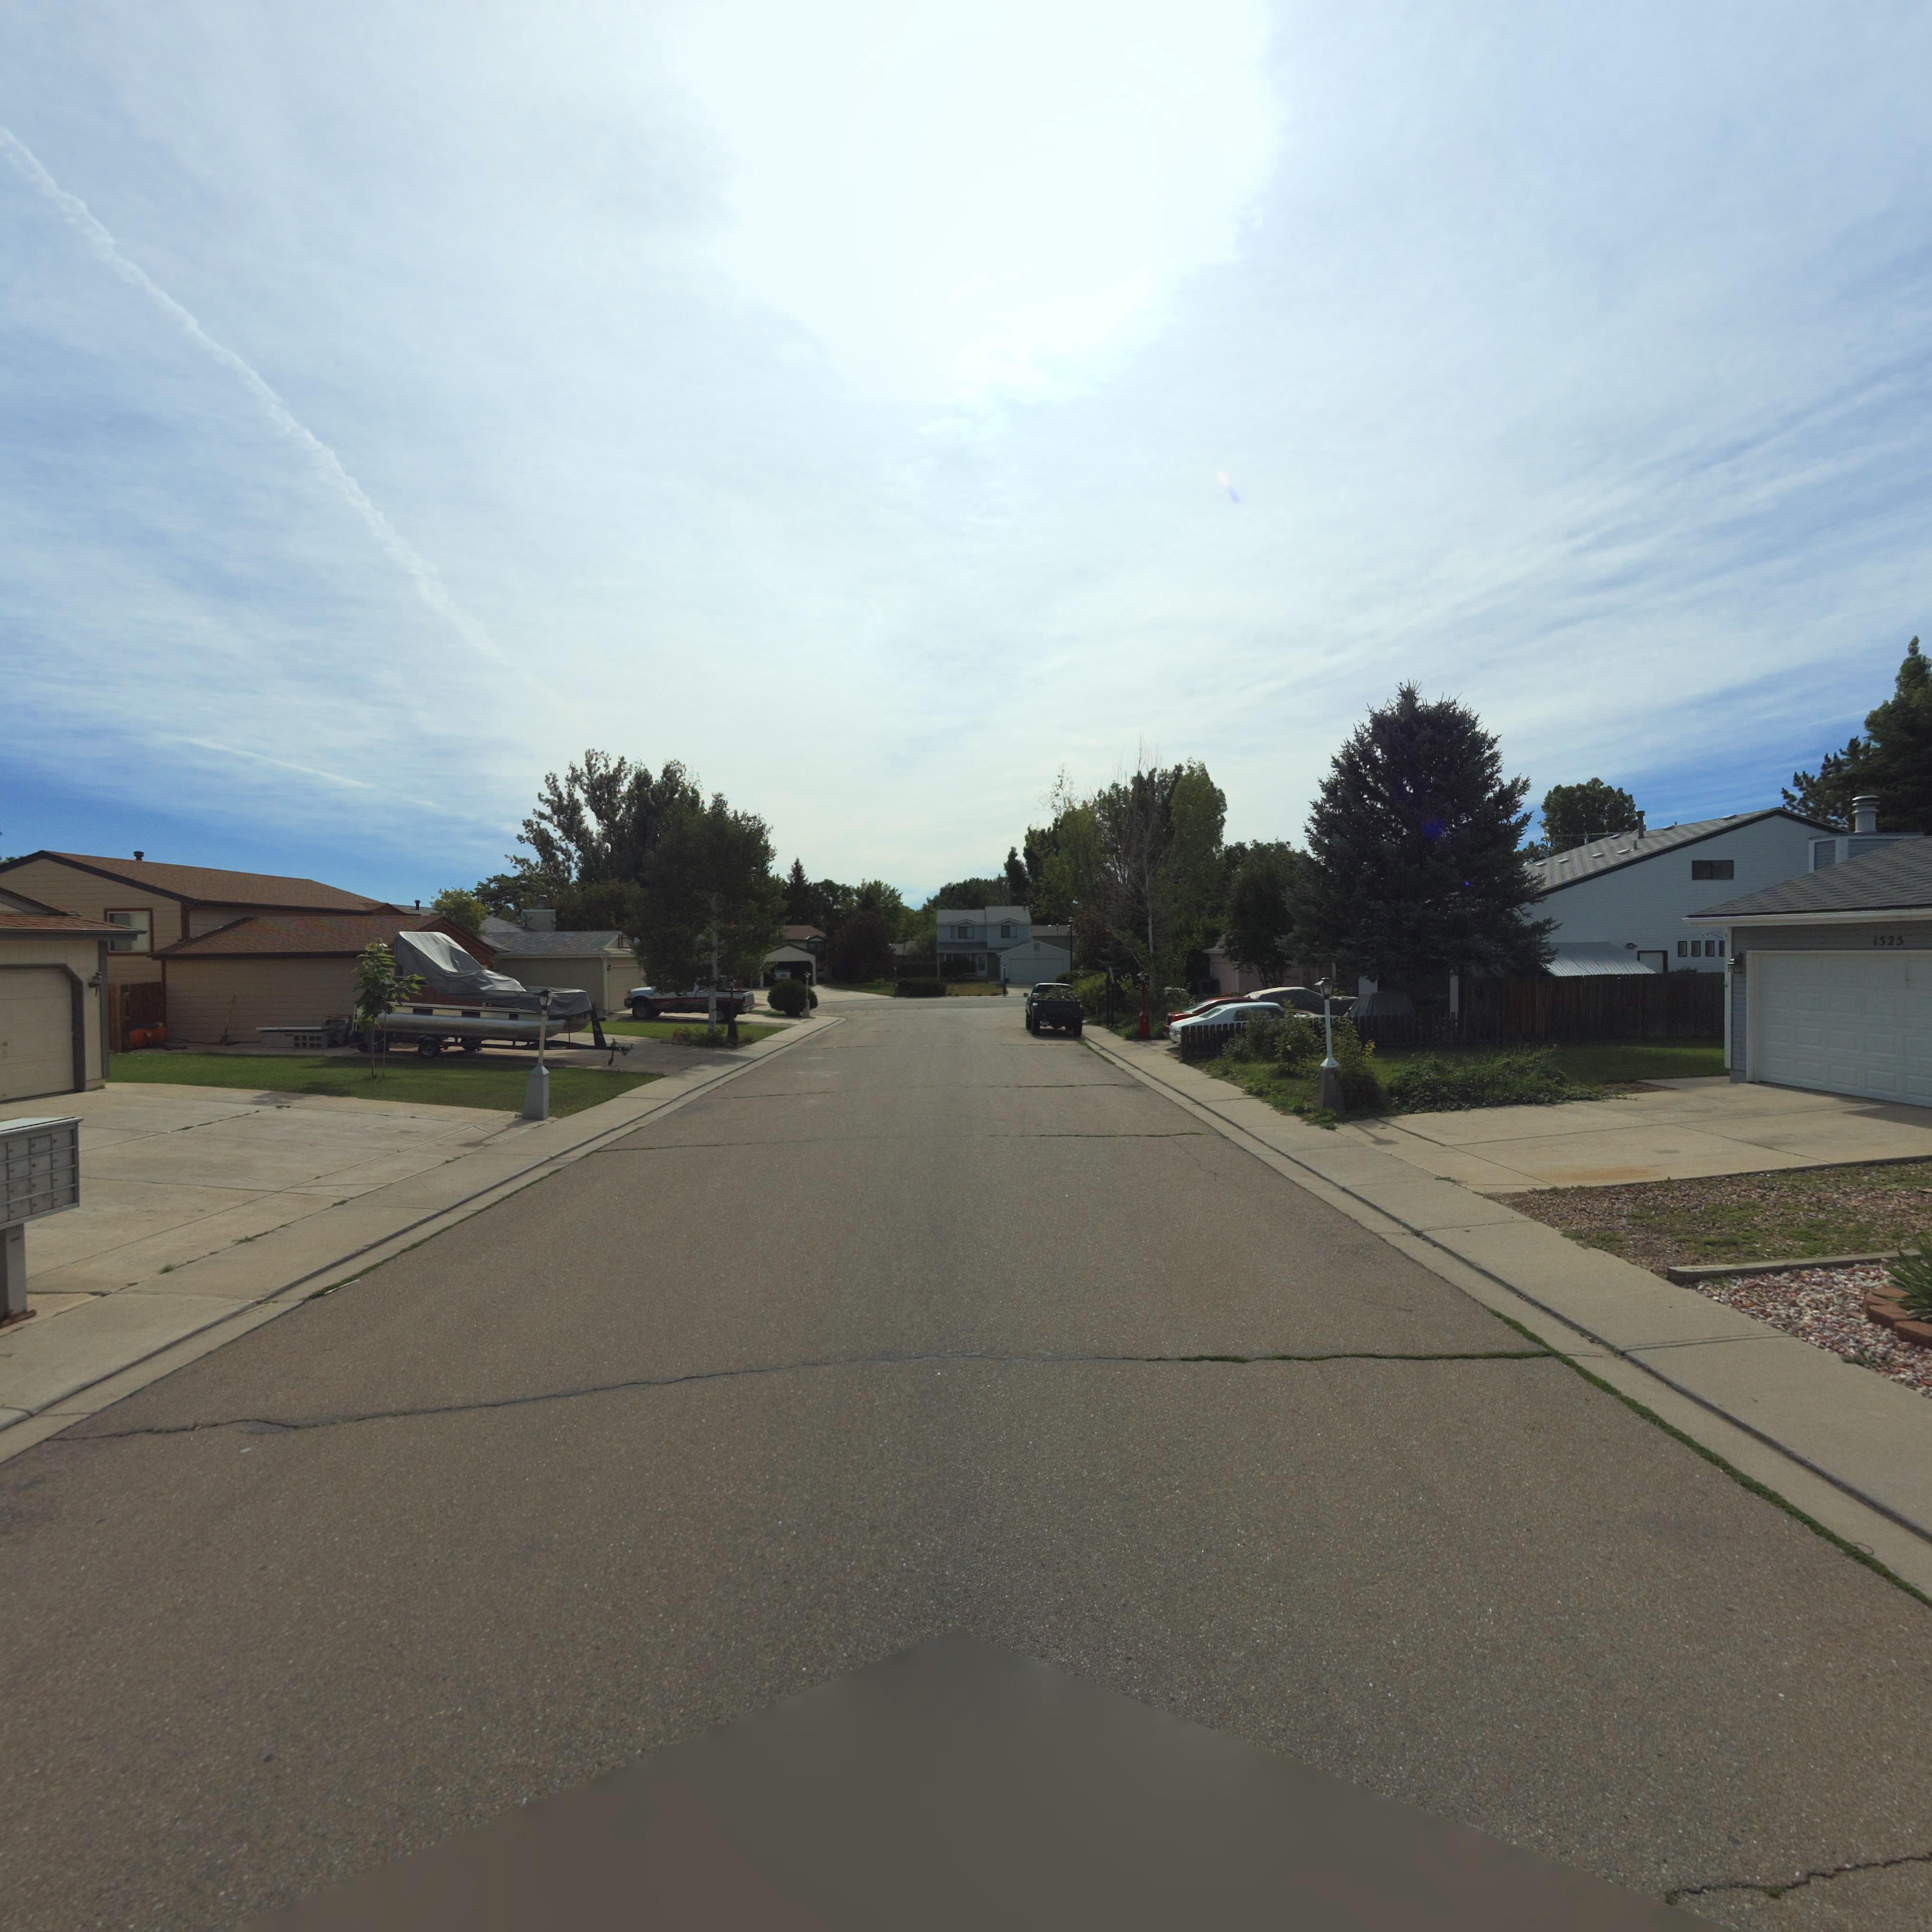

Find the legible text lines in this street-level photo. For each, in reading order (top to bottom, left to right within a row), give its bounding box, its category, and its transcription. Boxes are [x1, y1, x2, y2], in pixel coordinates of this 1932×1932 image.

[1873, 935, 1905, 946] StreetNumber: 1525